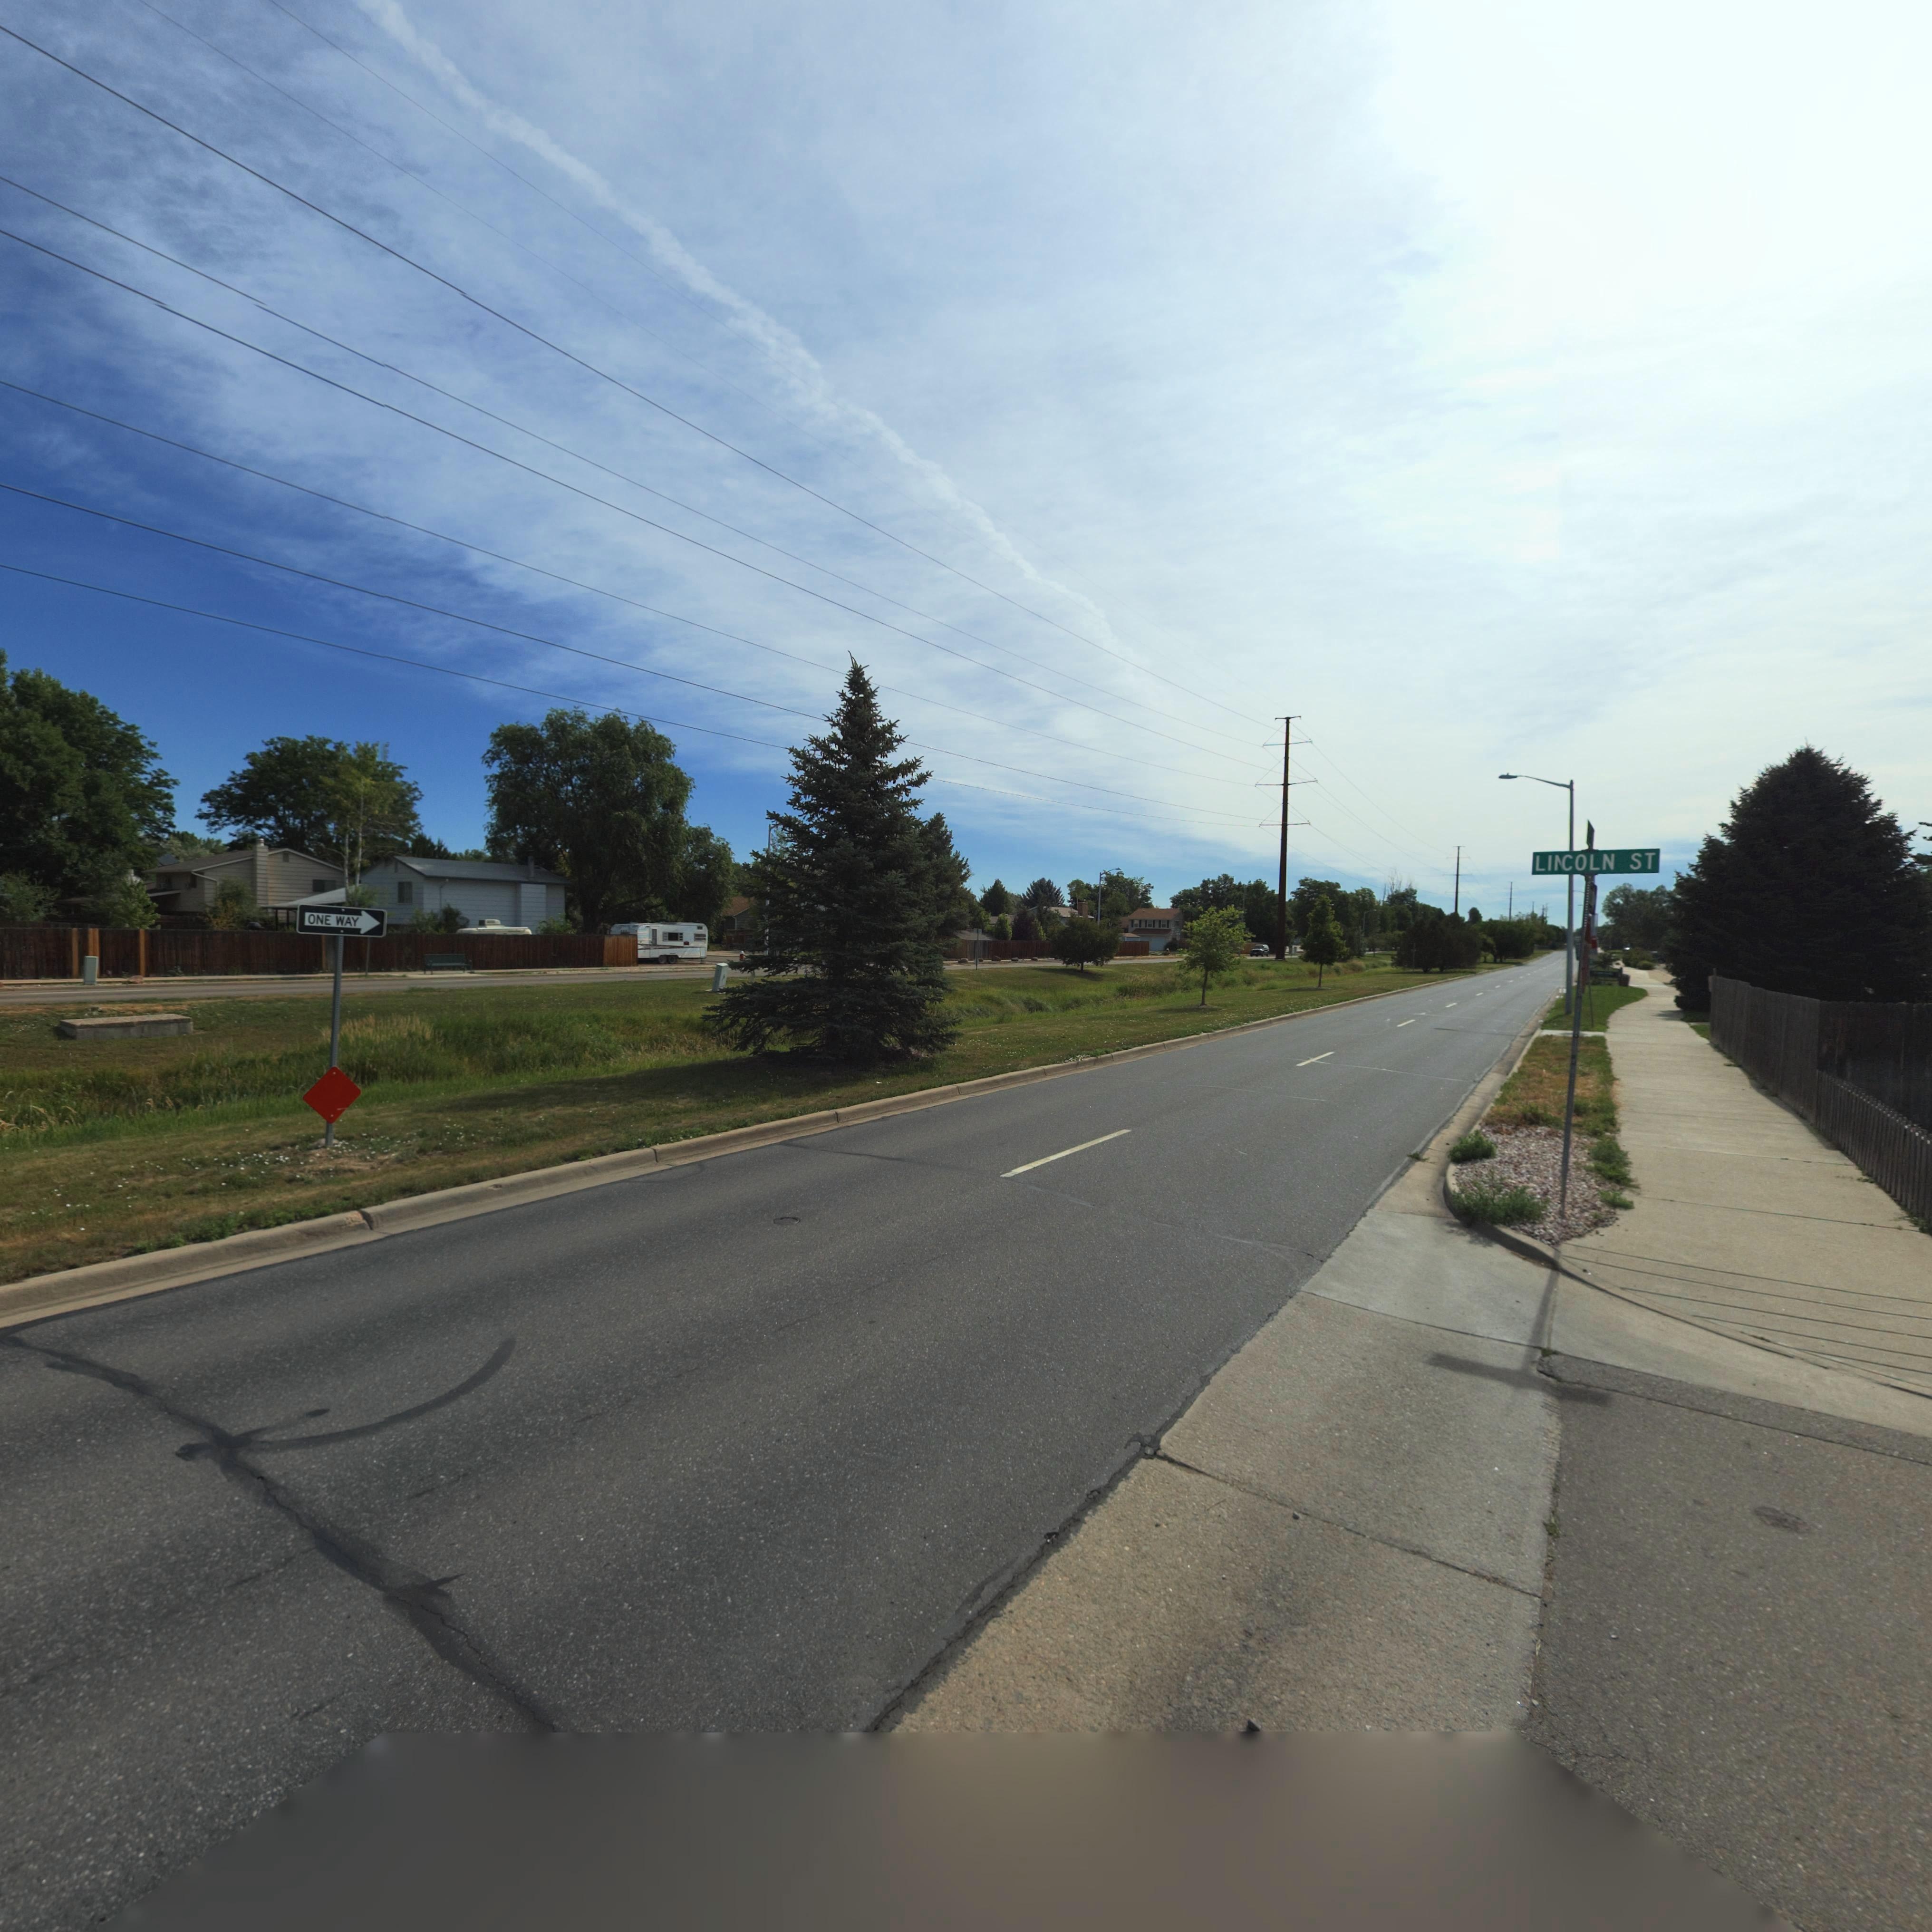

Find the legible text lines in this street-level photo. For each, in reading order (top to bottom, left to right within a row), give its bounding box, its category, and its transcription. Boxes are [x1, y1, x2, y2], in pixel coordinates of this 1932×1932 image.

[1535, 852, 1655, 871] StreetName: LI*COLN ST